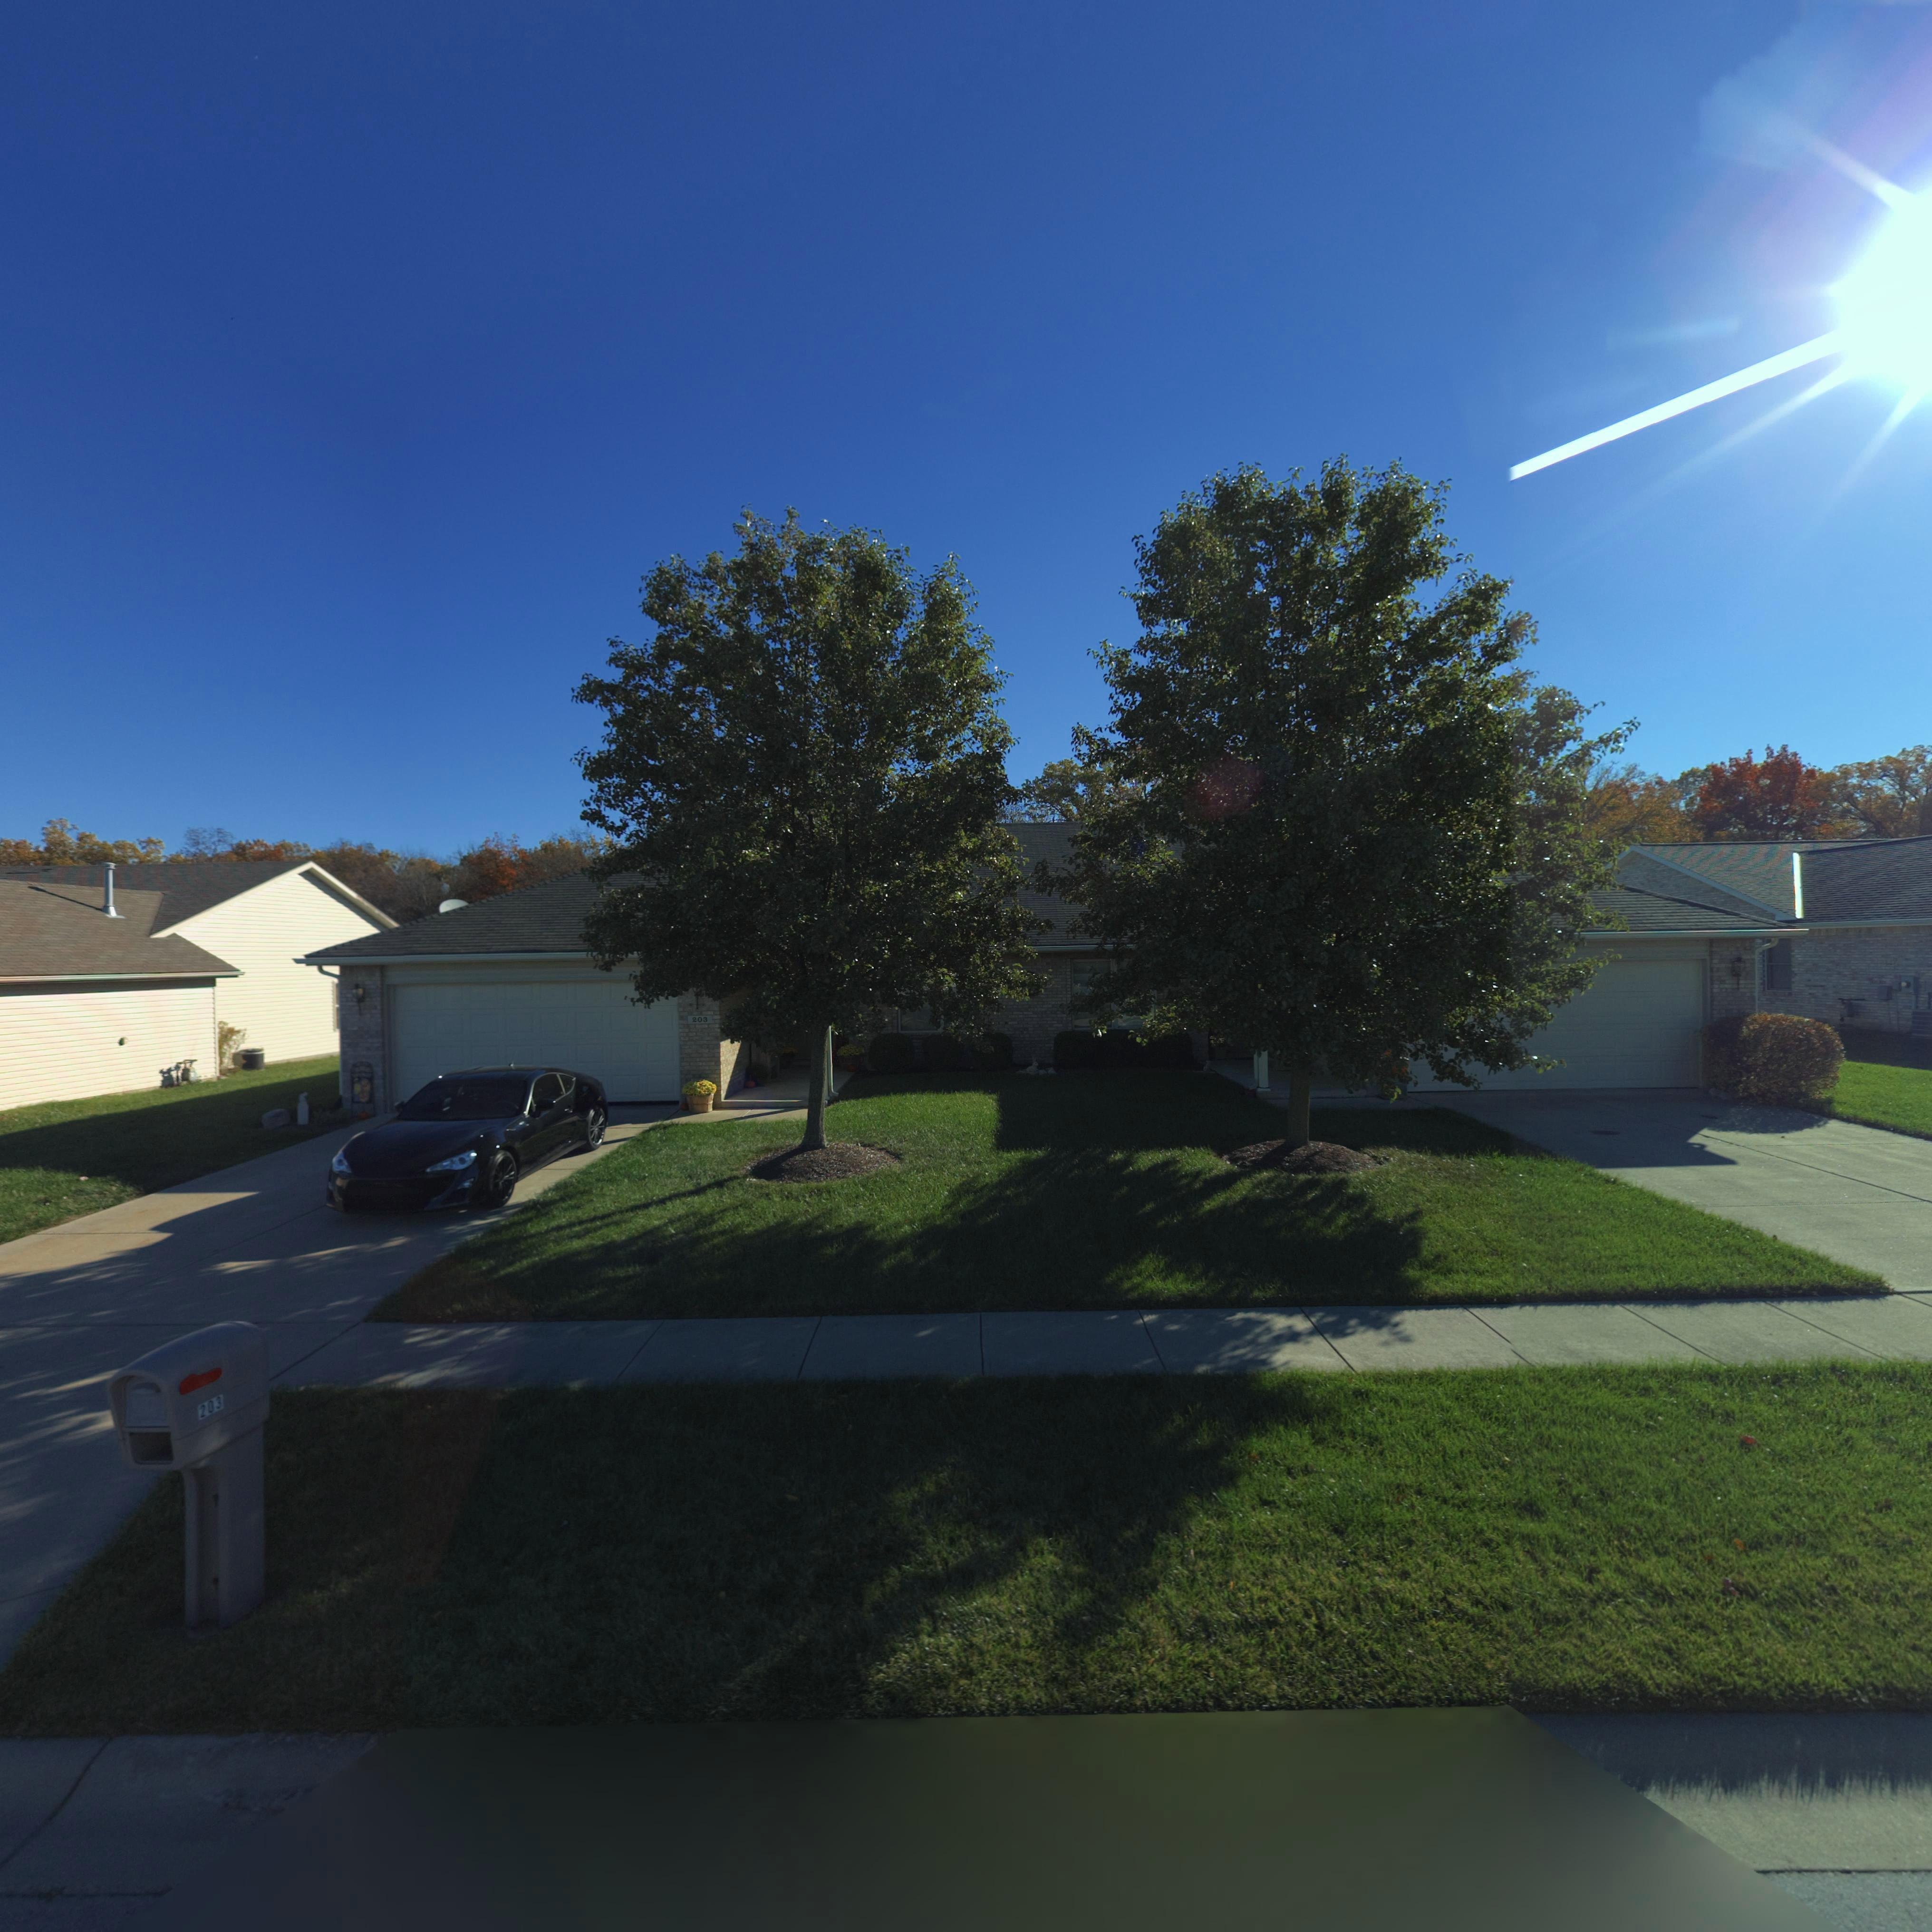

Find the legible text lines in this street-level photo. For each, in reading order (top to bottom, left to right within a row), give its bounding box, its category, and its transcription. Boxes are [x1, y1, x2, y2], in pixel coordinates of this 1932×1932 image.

[691, 1016, 708, 1023] StreetNumber: 203
[198, 1394, 222, 1420] StreetNumber: 203